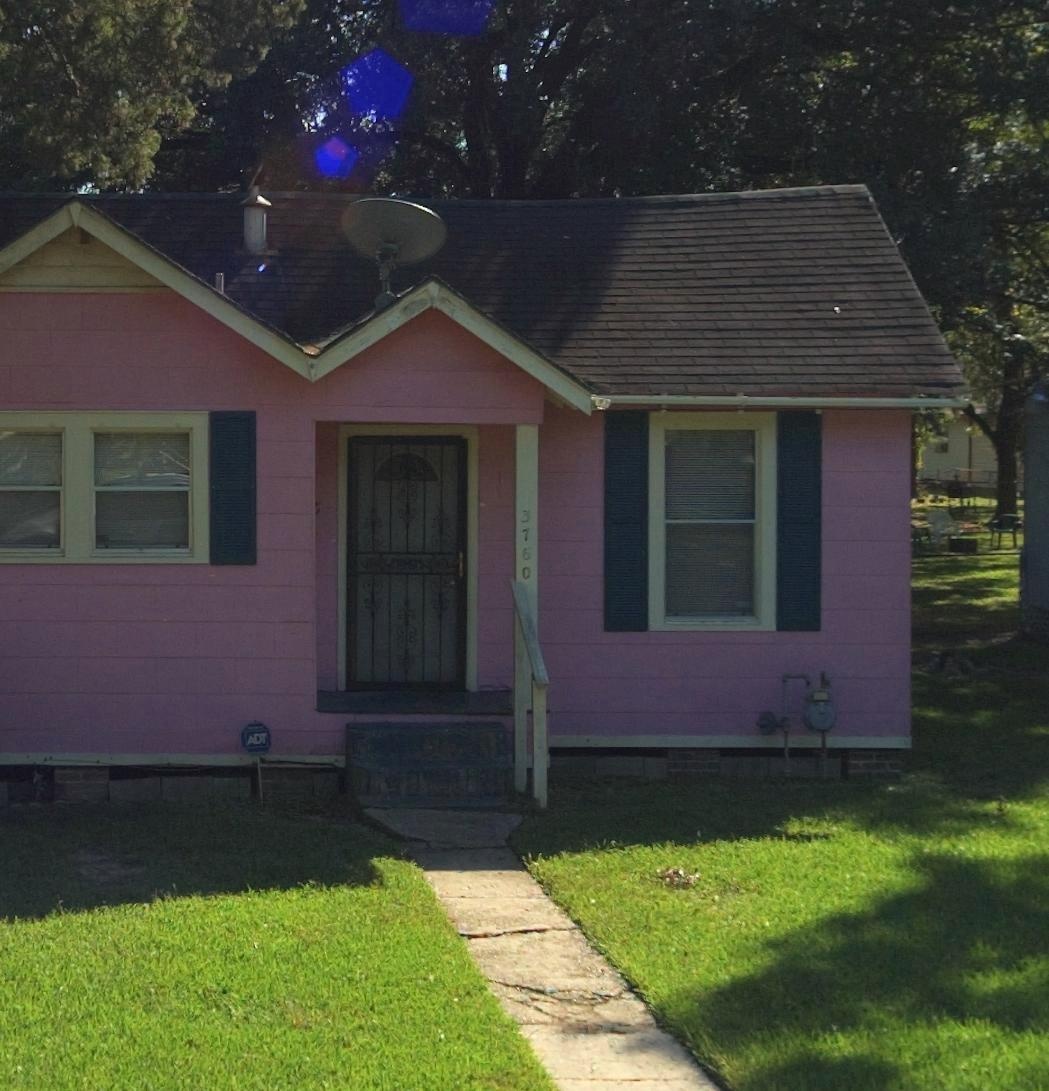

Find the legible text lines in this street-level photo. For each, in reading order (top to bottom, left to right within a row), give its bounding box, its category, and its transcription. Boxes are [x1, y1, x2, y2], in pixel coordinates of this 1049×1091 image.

[518, 508, 533, 581] StreetNumber: 3760
[244, 731, 269, 748] None: ADT